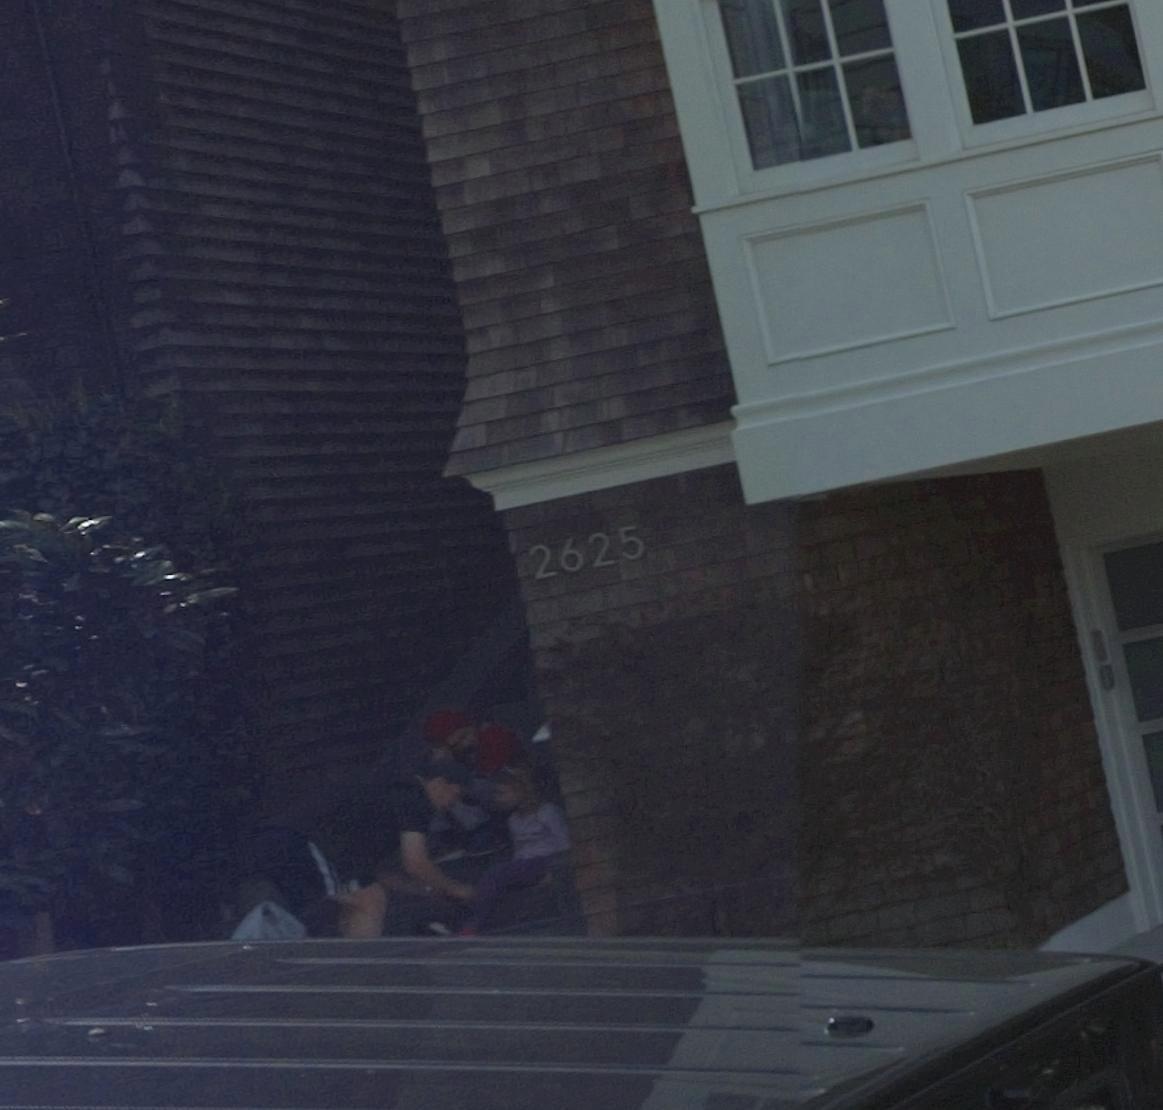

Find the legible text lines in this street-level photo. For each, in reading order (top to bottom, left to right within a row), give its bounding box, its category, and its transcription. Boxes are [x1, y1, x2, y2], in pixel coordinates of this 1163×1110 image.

[524, 520, 648, 583] StreetNumber: 2625